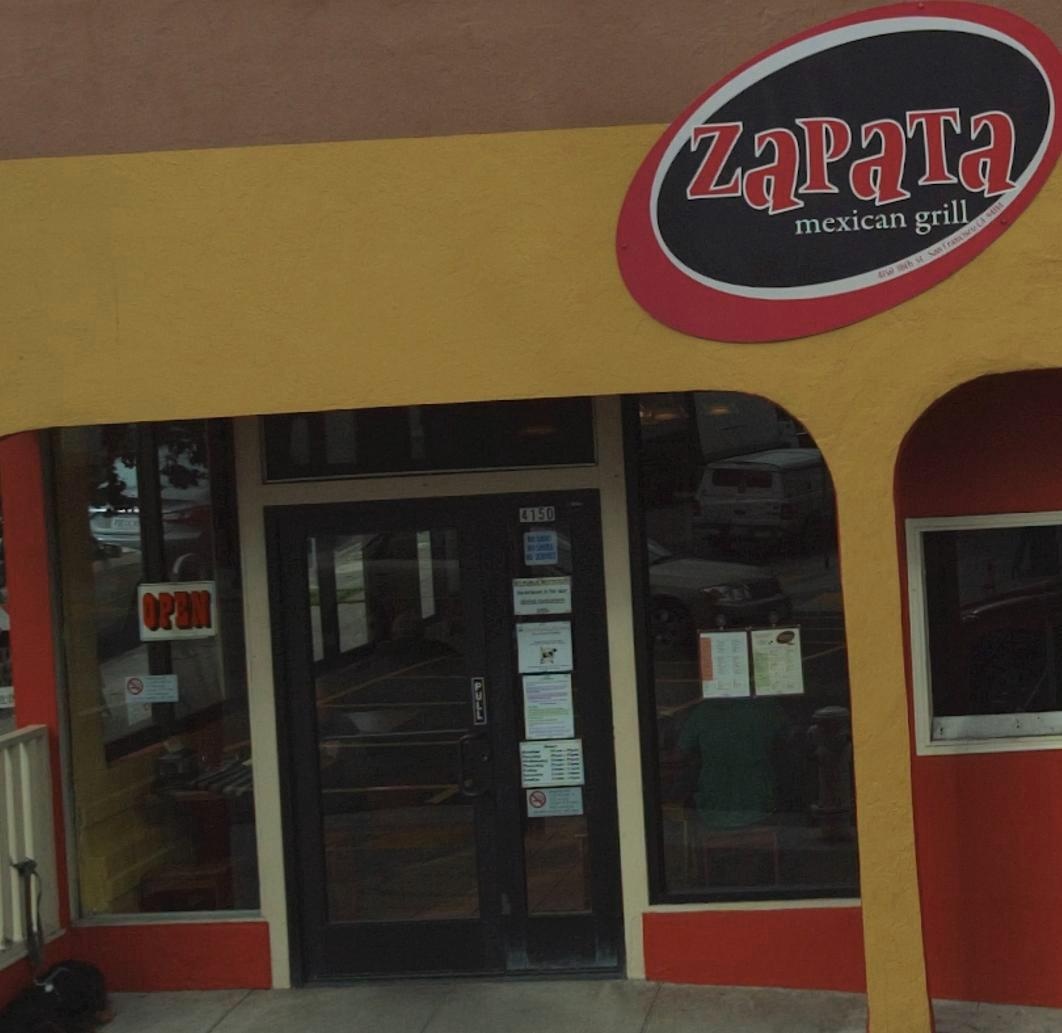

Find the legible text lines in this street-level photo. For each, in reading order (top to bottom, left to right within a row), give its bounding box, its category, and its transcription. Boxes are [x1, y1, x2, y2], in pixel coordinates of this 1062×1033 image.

[683, 105, 1019, 220] BusinessName: zapata
[793, 197, 970, 240] BusinessName: mexican grill
[519, 506, 555, 522] StreetNumber: 4150
[141, 589, 213, 633] None: OPEN
[473, 681, 485, 722] None: PULL